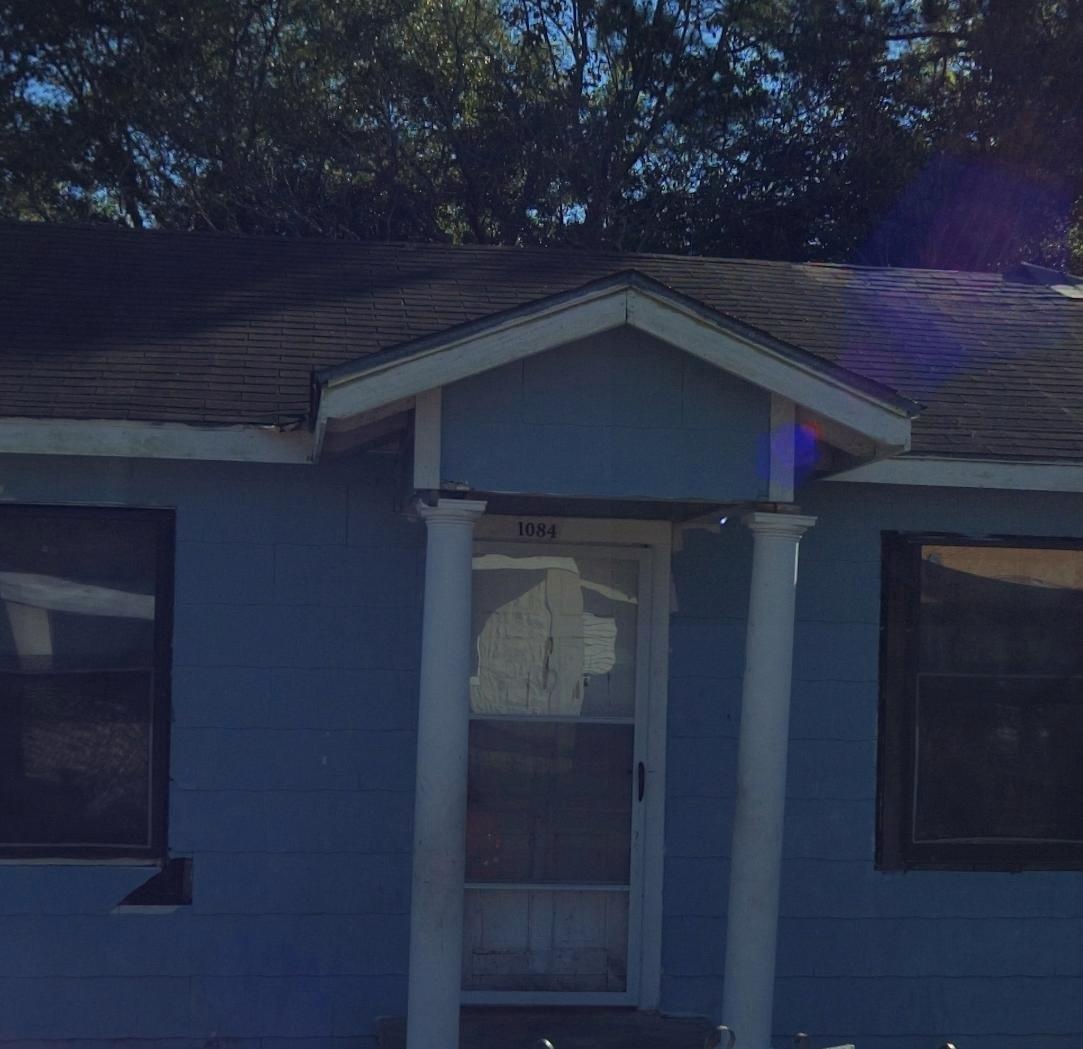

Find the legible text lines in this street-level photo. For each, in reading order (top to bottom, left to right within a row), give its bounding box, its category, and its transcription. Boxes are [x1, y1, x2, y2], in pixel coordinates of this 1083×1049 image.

[515, 518, 558, 541] StreetNumber: 1084